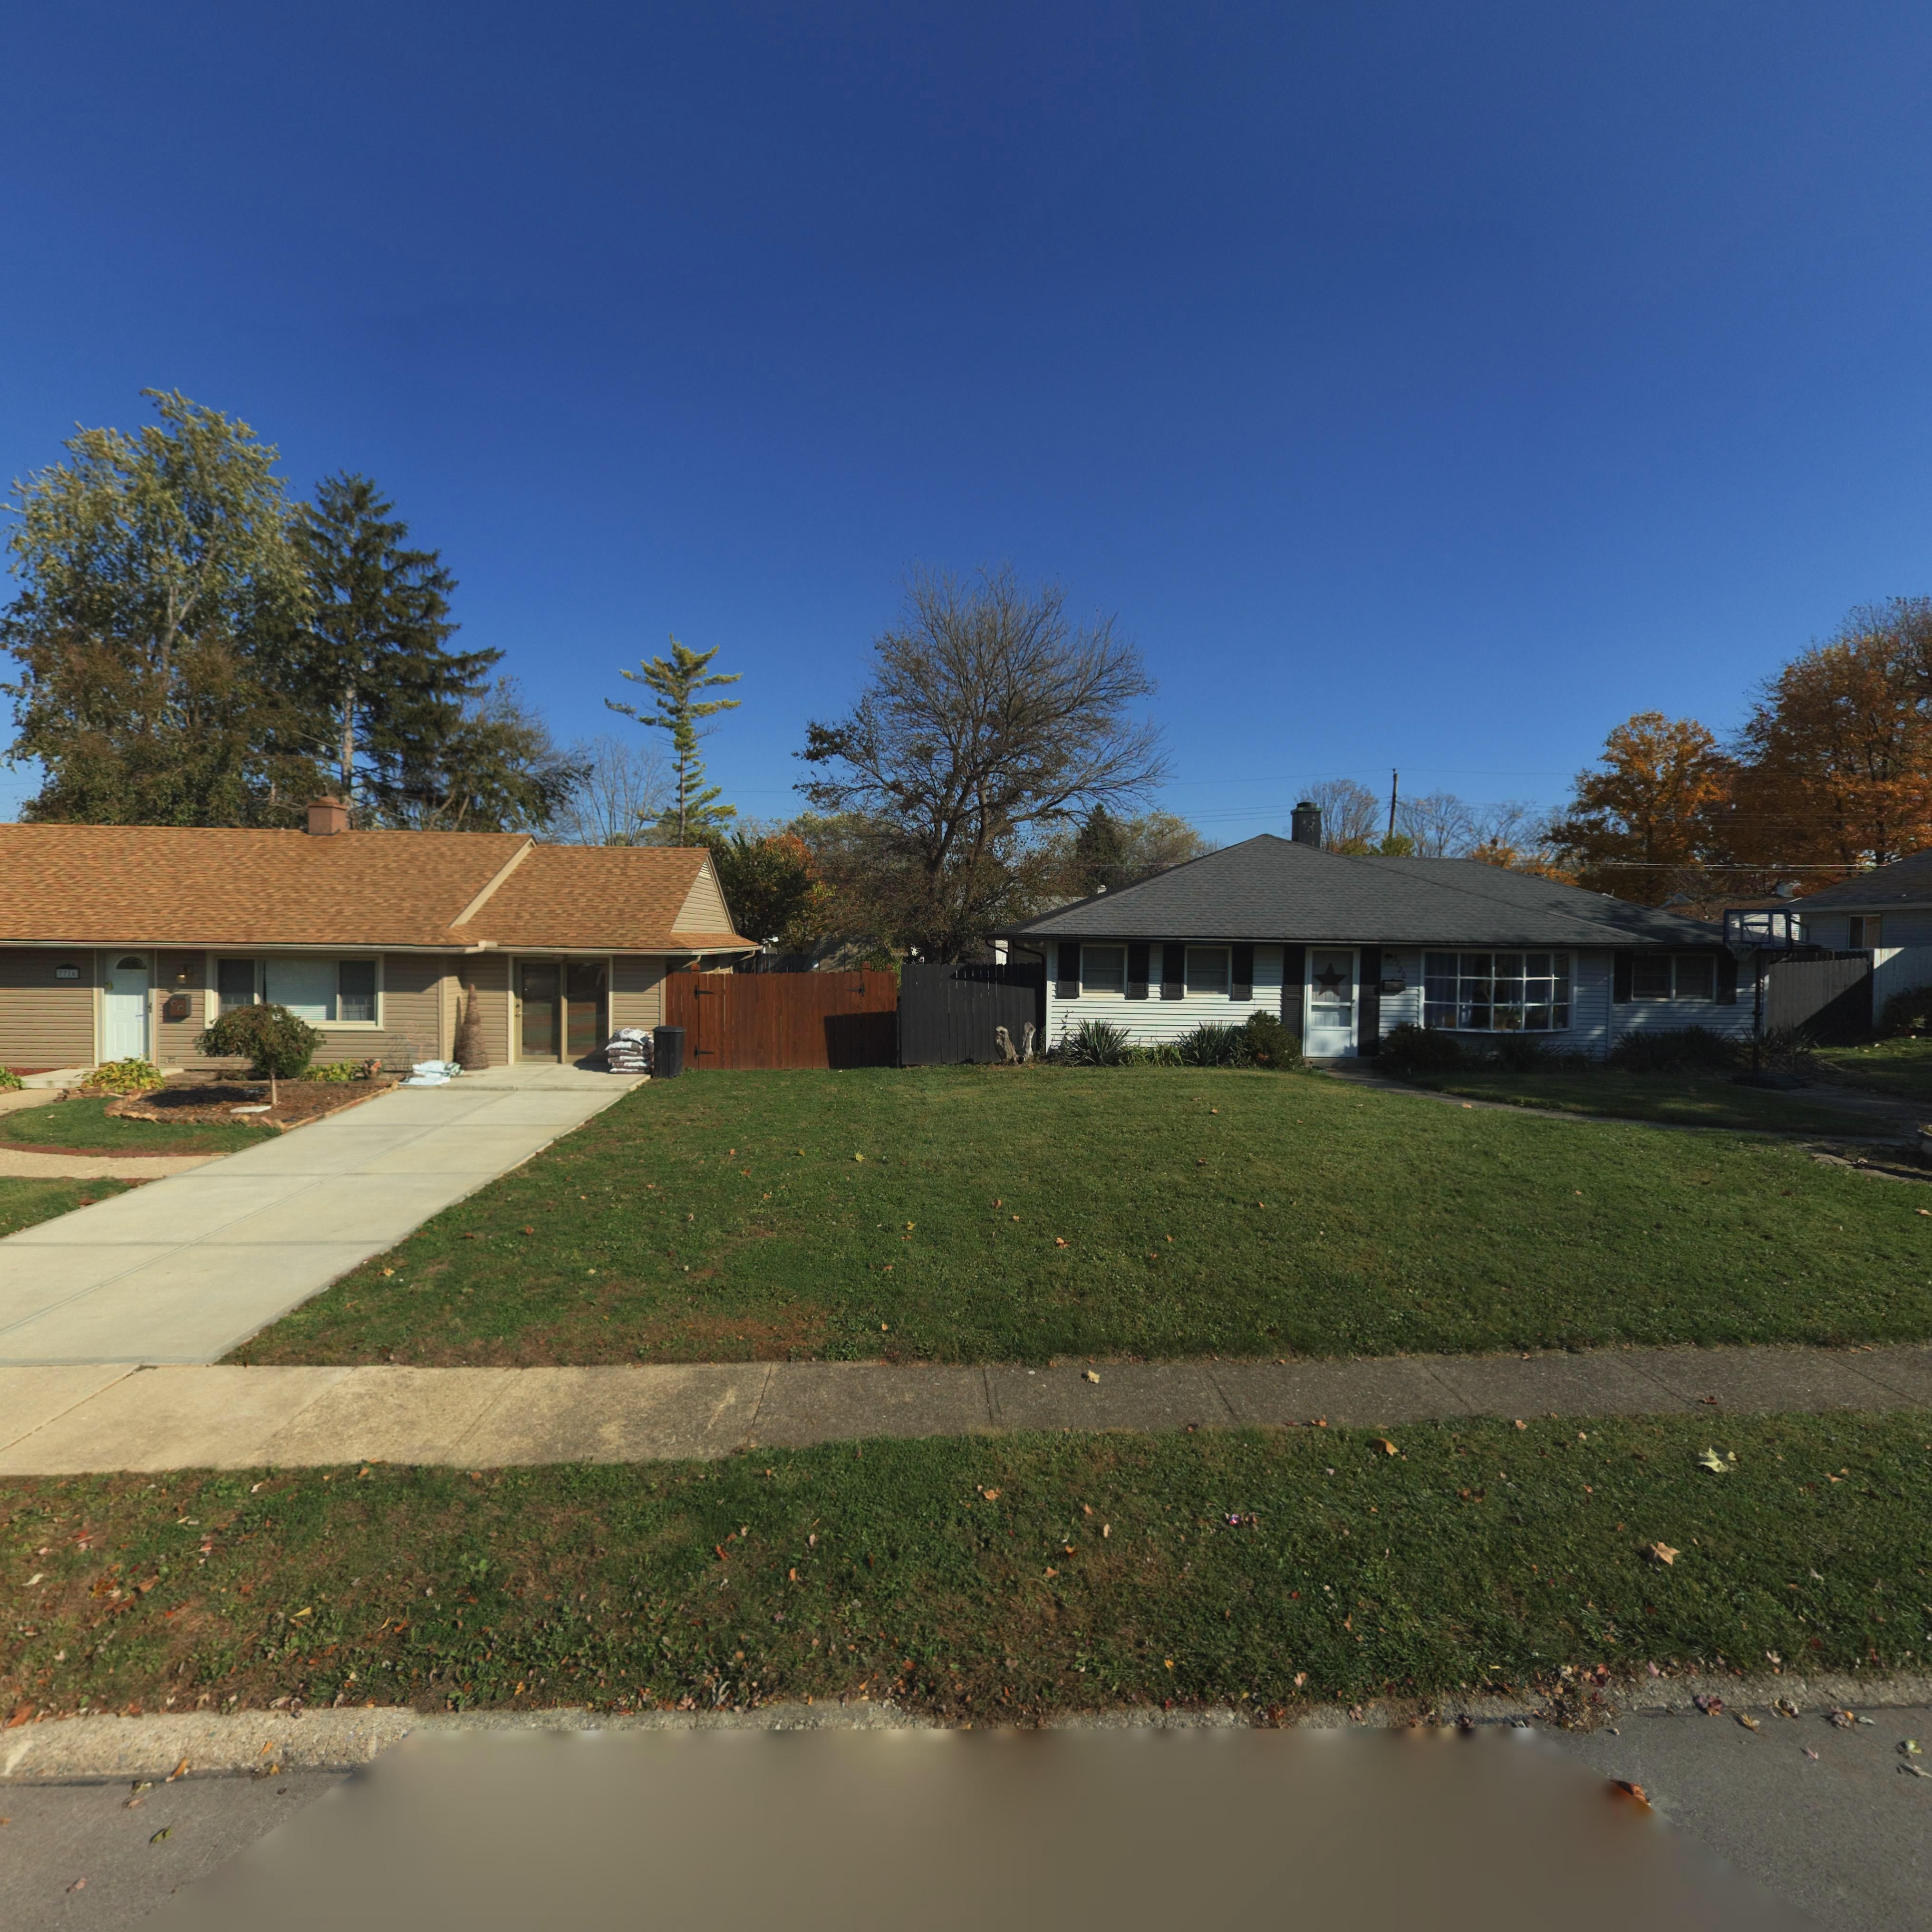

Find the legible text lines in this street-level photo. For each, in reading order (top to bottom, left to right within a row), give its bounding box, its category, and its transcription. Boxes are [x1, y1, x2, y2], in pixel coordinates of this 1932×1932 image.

[1392, 954, 1407, 979] StreetNumber: 3720